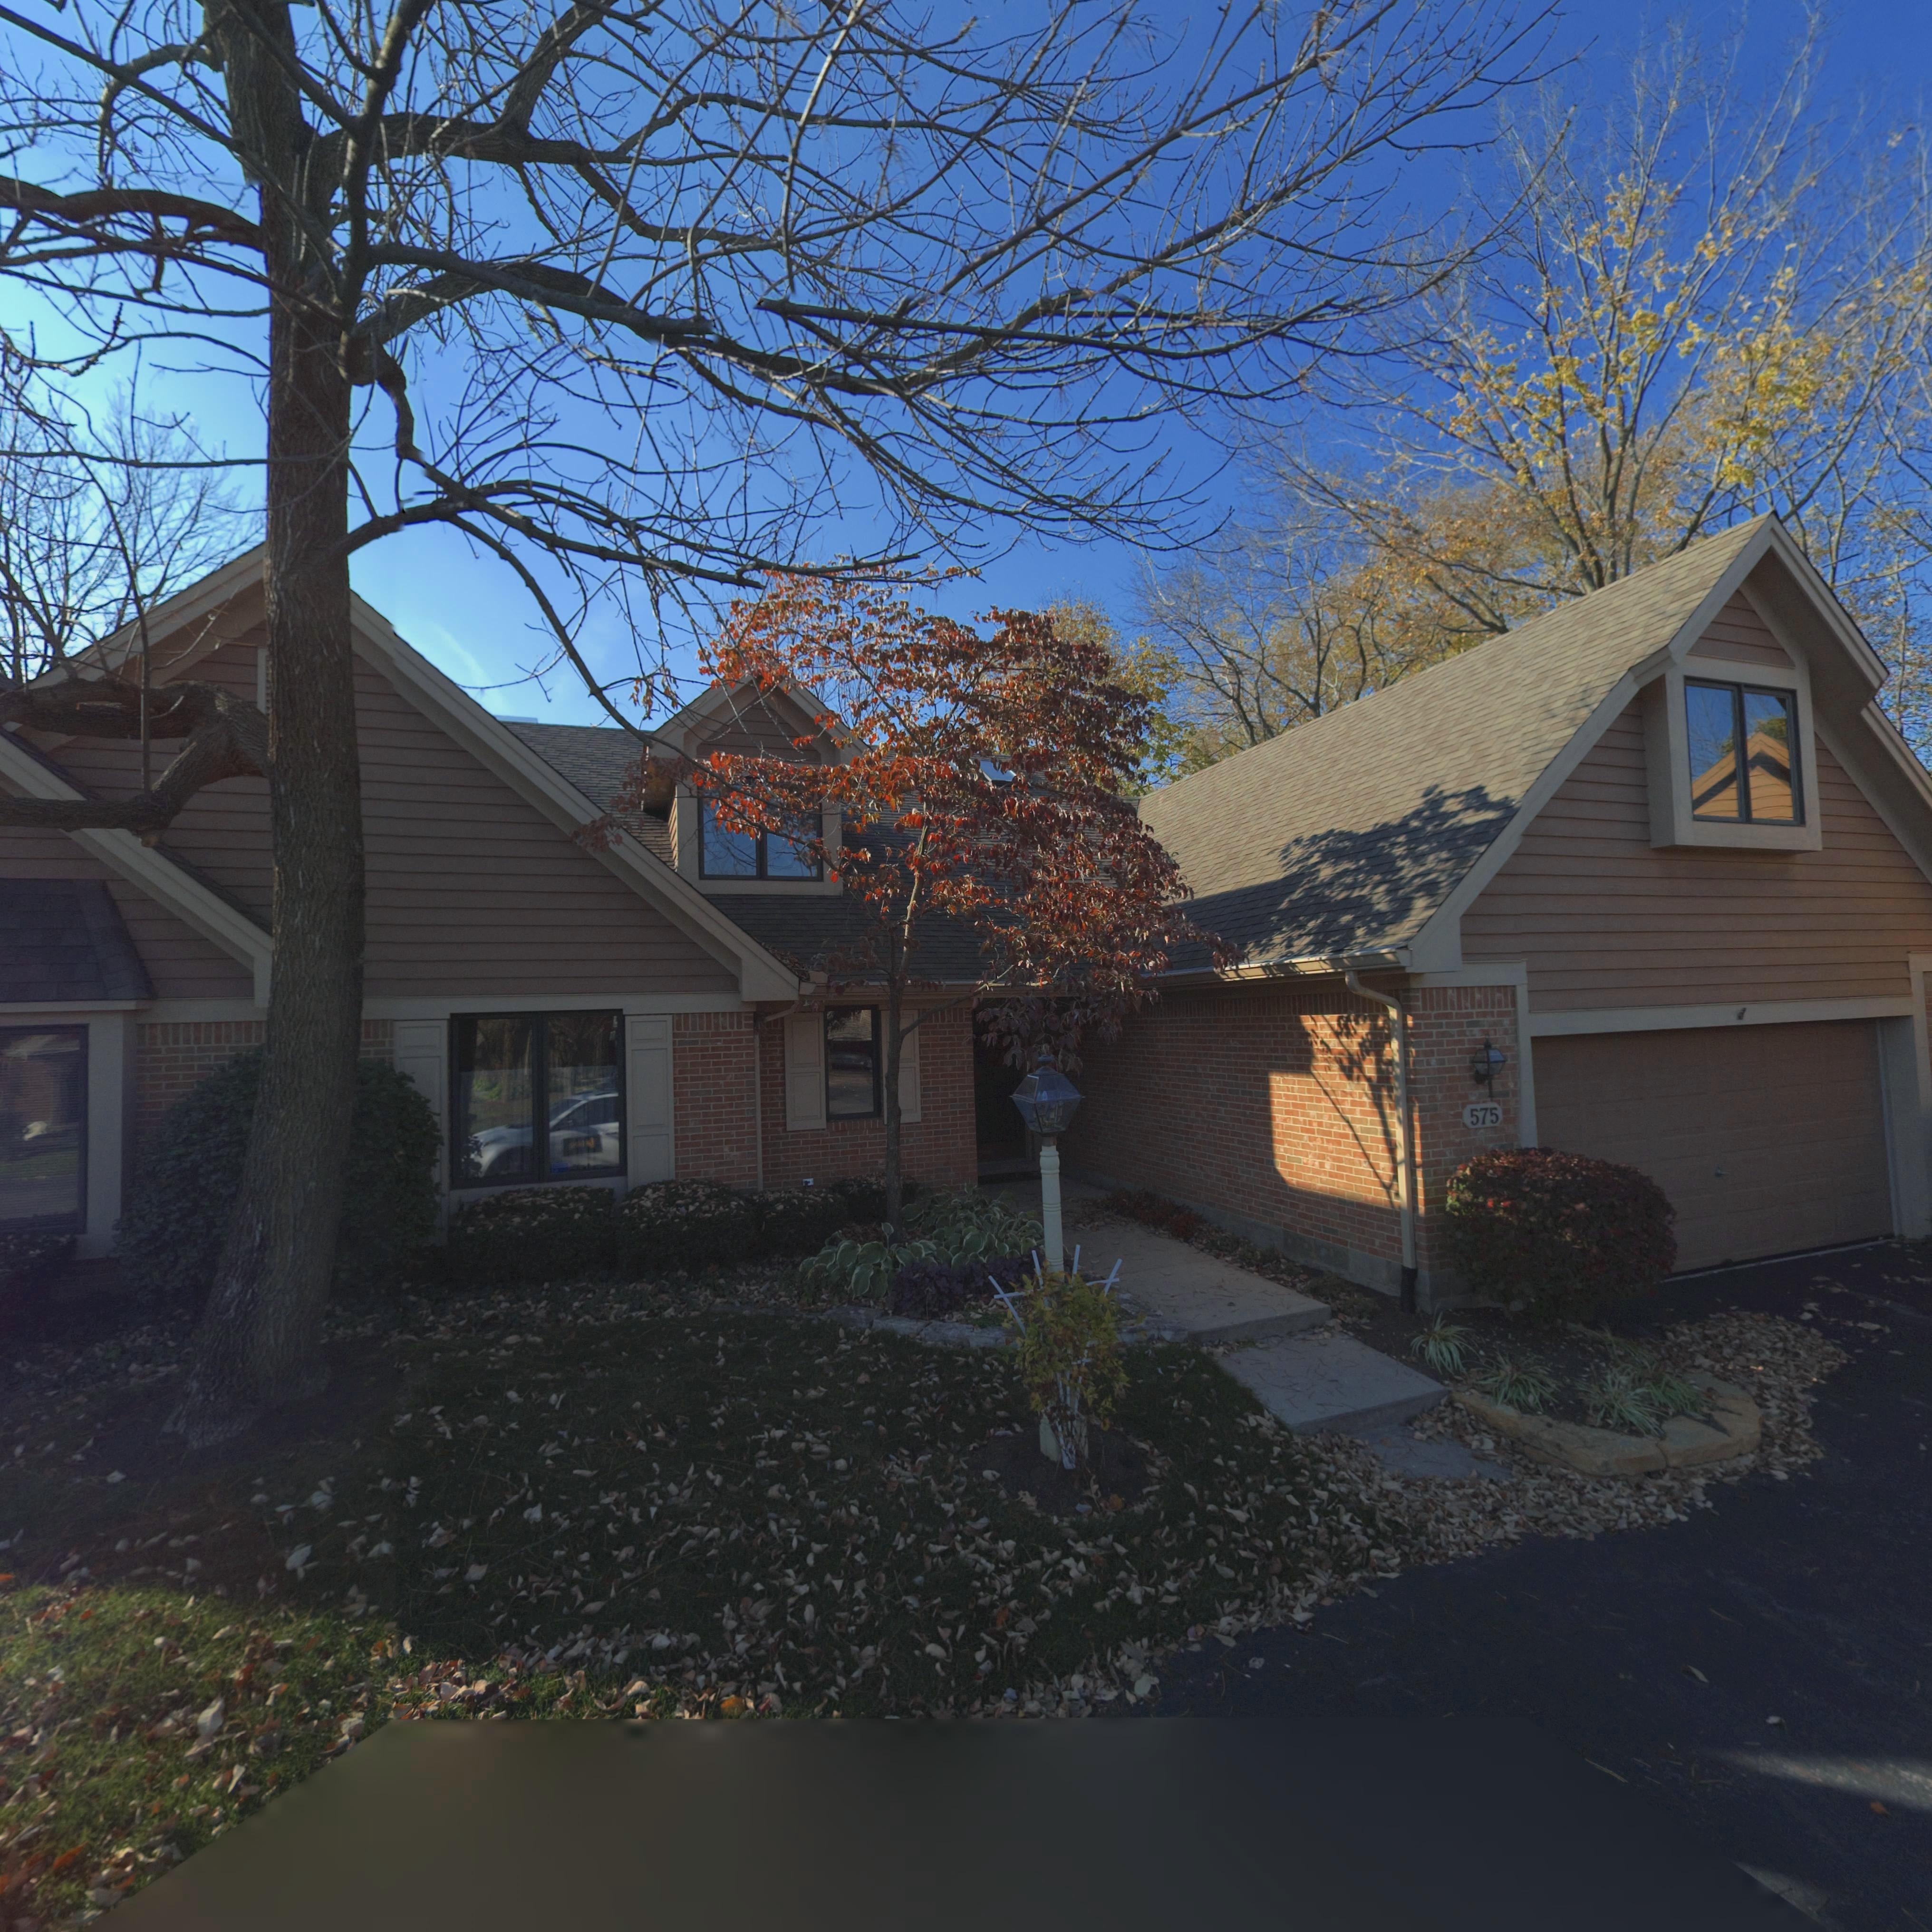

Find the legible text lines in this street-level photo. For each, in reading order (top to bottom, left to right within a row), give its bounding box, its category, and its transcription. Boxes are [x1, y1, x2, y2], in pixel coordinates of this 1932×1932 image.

[1469, 1106, 1500, 1127] StreetNumber: 575